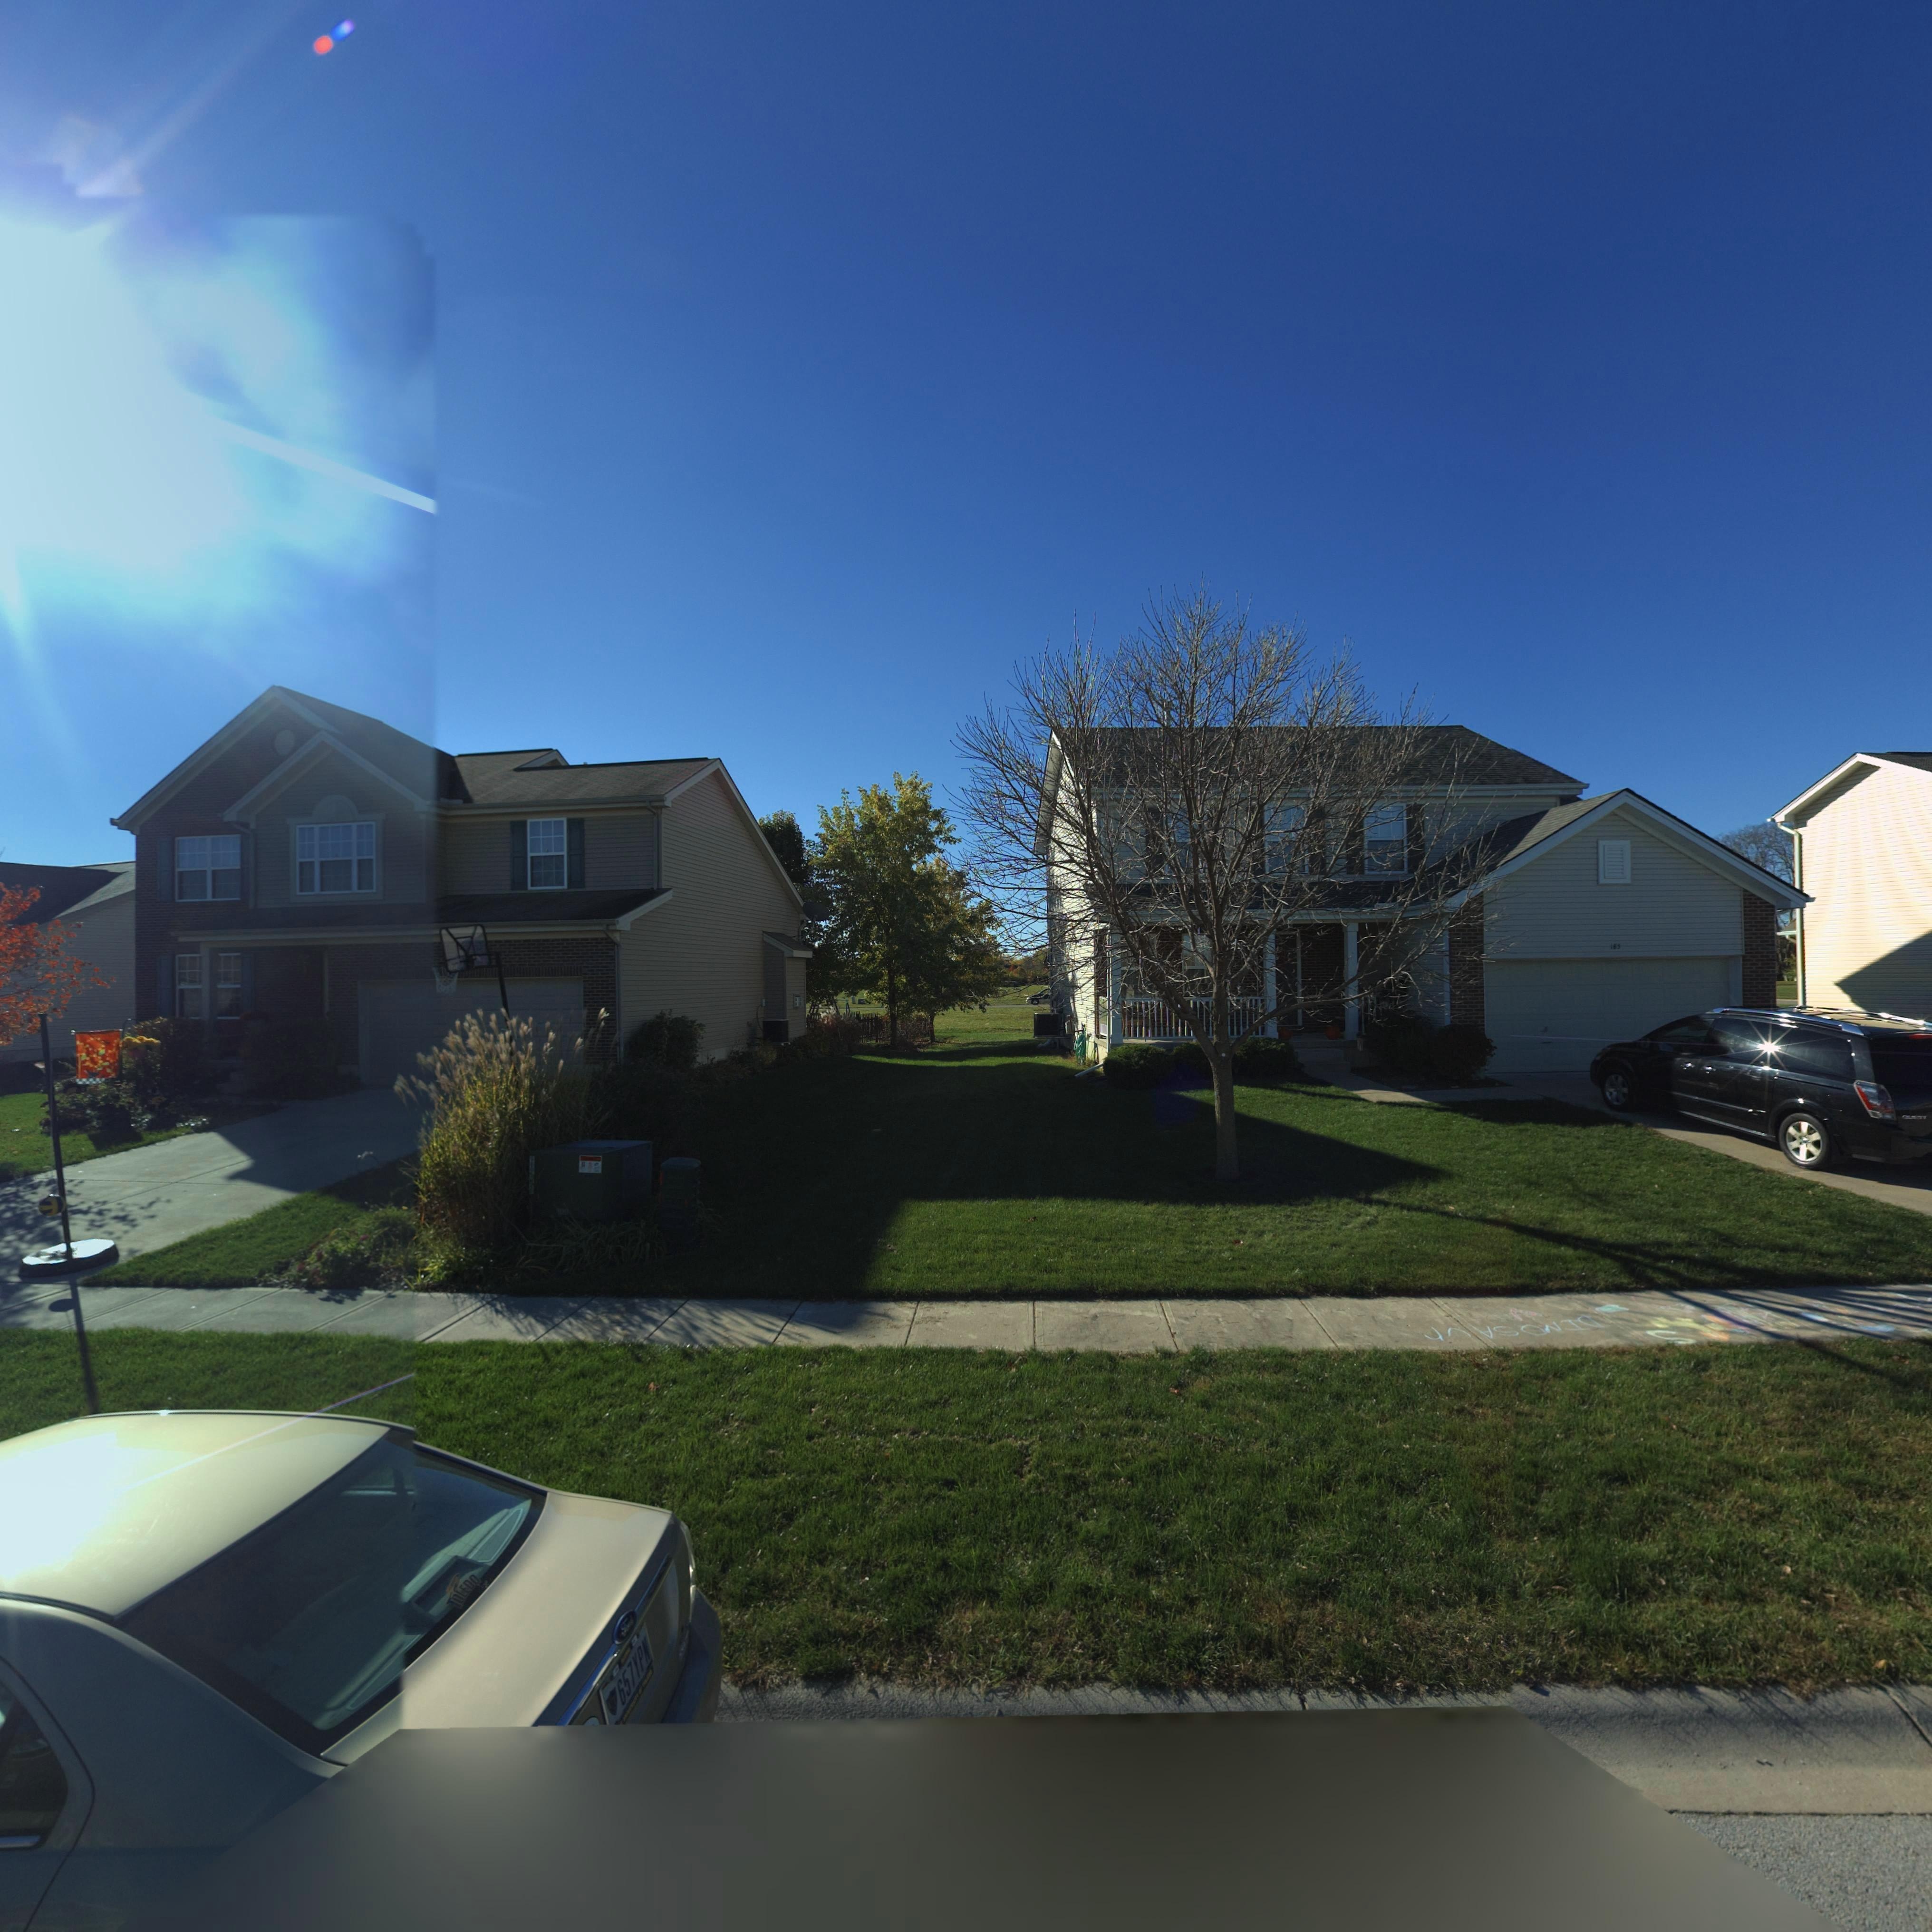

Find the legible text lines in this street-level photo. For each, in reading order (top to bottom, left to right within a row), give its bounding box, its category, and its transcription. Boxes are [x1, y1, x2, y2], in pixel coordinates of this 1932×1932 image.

[1610, 942, 1621, 950] StreetNumber: 18*